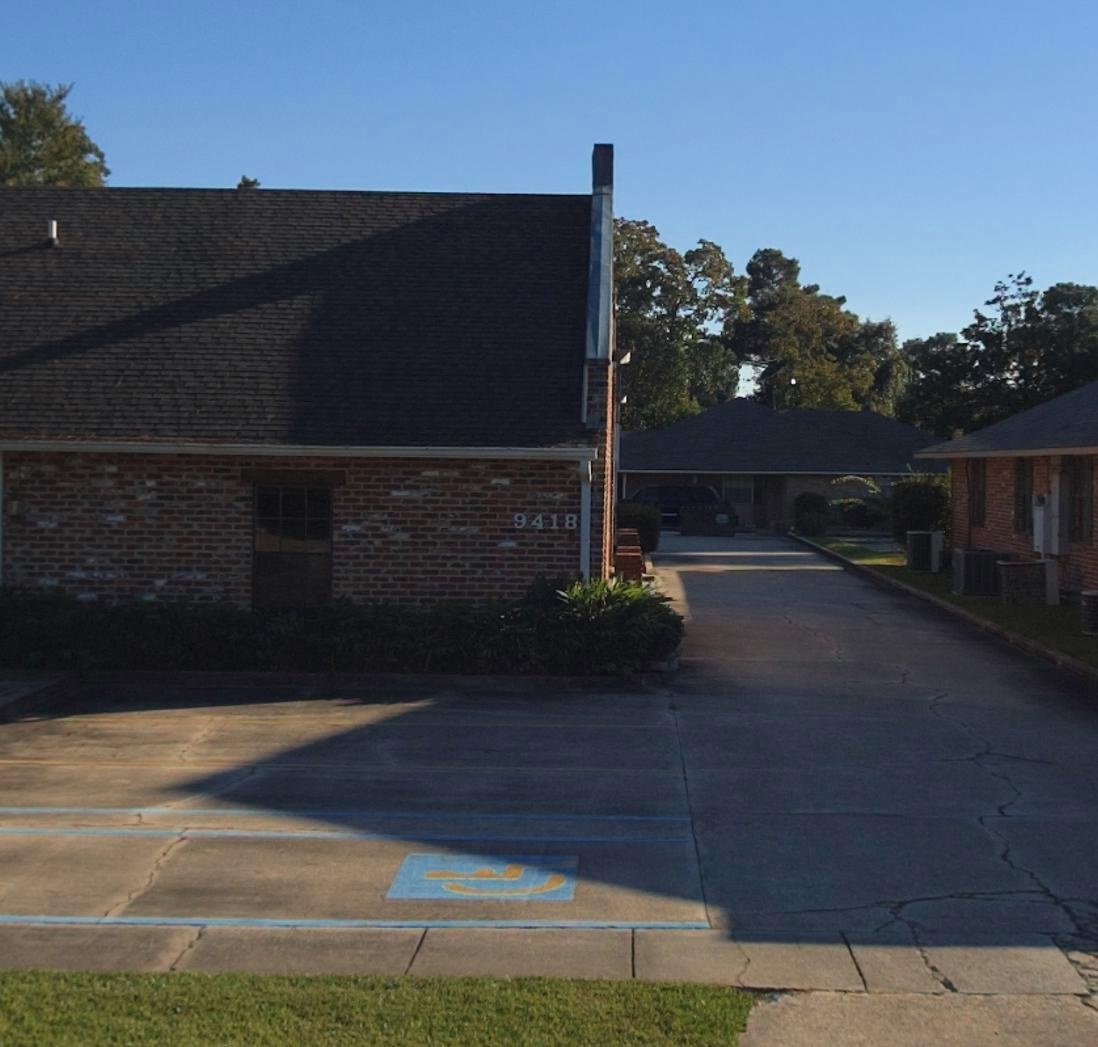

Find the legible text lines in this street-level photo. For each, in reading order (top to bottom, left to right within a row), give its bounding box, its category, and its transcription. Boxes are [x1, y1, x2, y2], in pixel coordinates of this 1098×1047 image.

[513, 512, 579, 531] StreetNumber: 9418